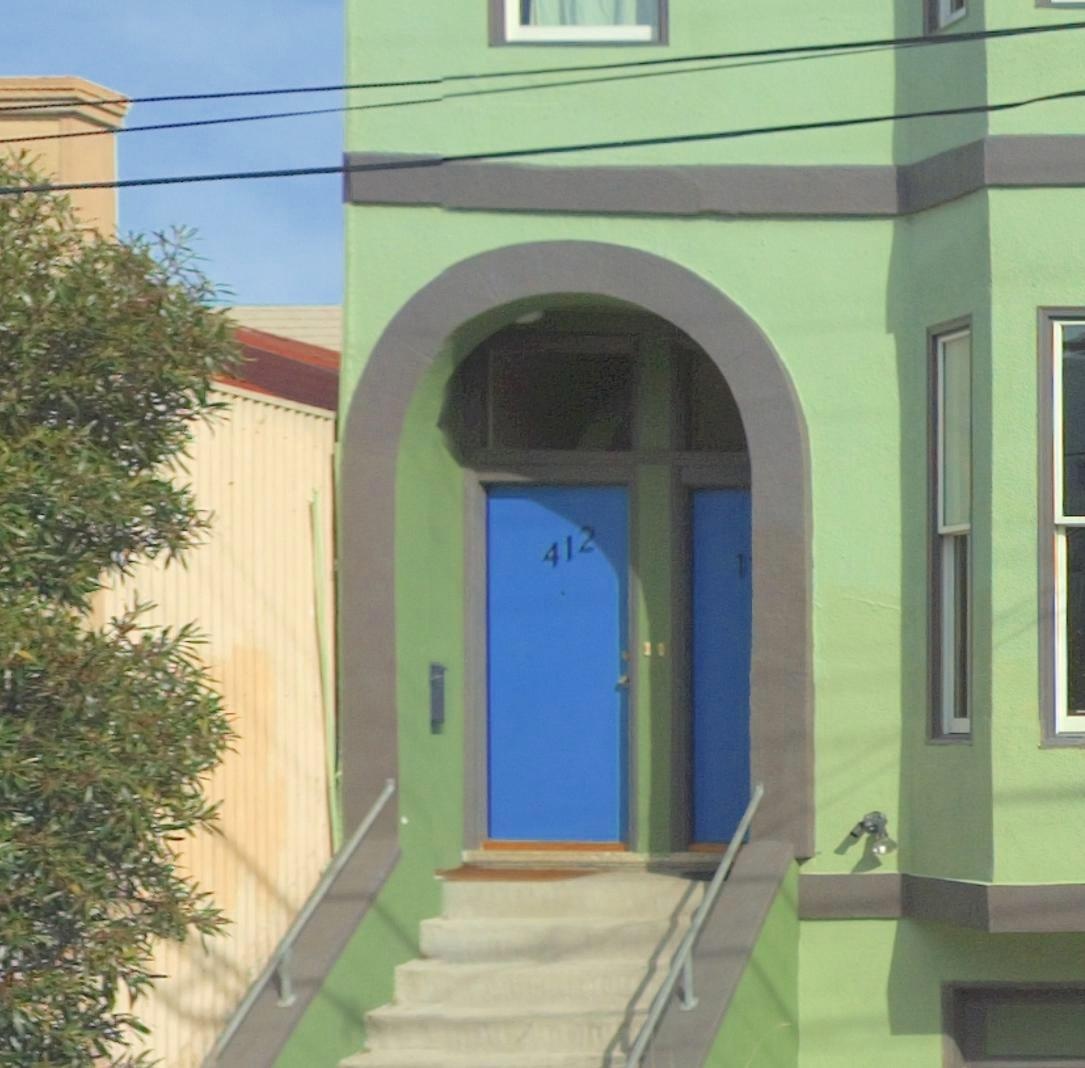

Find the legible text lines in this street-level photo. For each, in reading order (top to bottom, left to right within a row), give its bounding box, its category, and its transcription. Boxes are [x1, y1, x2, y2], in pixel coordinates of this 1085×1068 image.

[539, 519, 598, 573] StreetNumber: 412
[733, 548, 747, 580] StreetNumber: 1